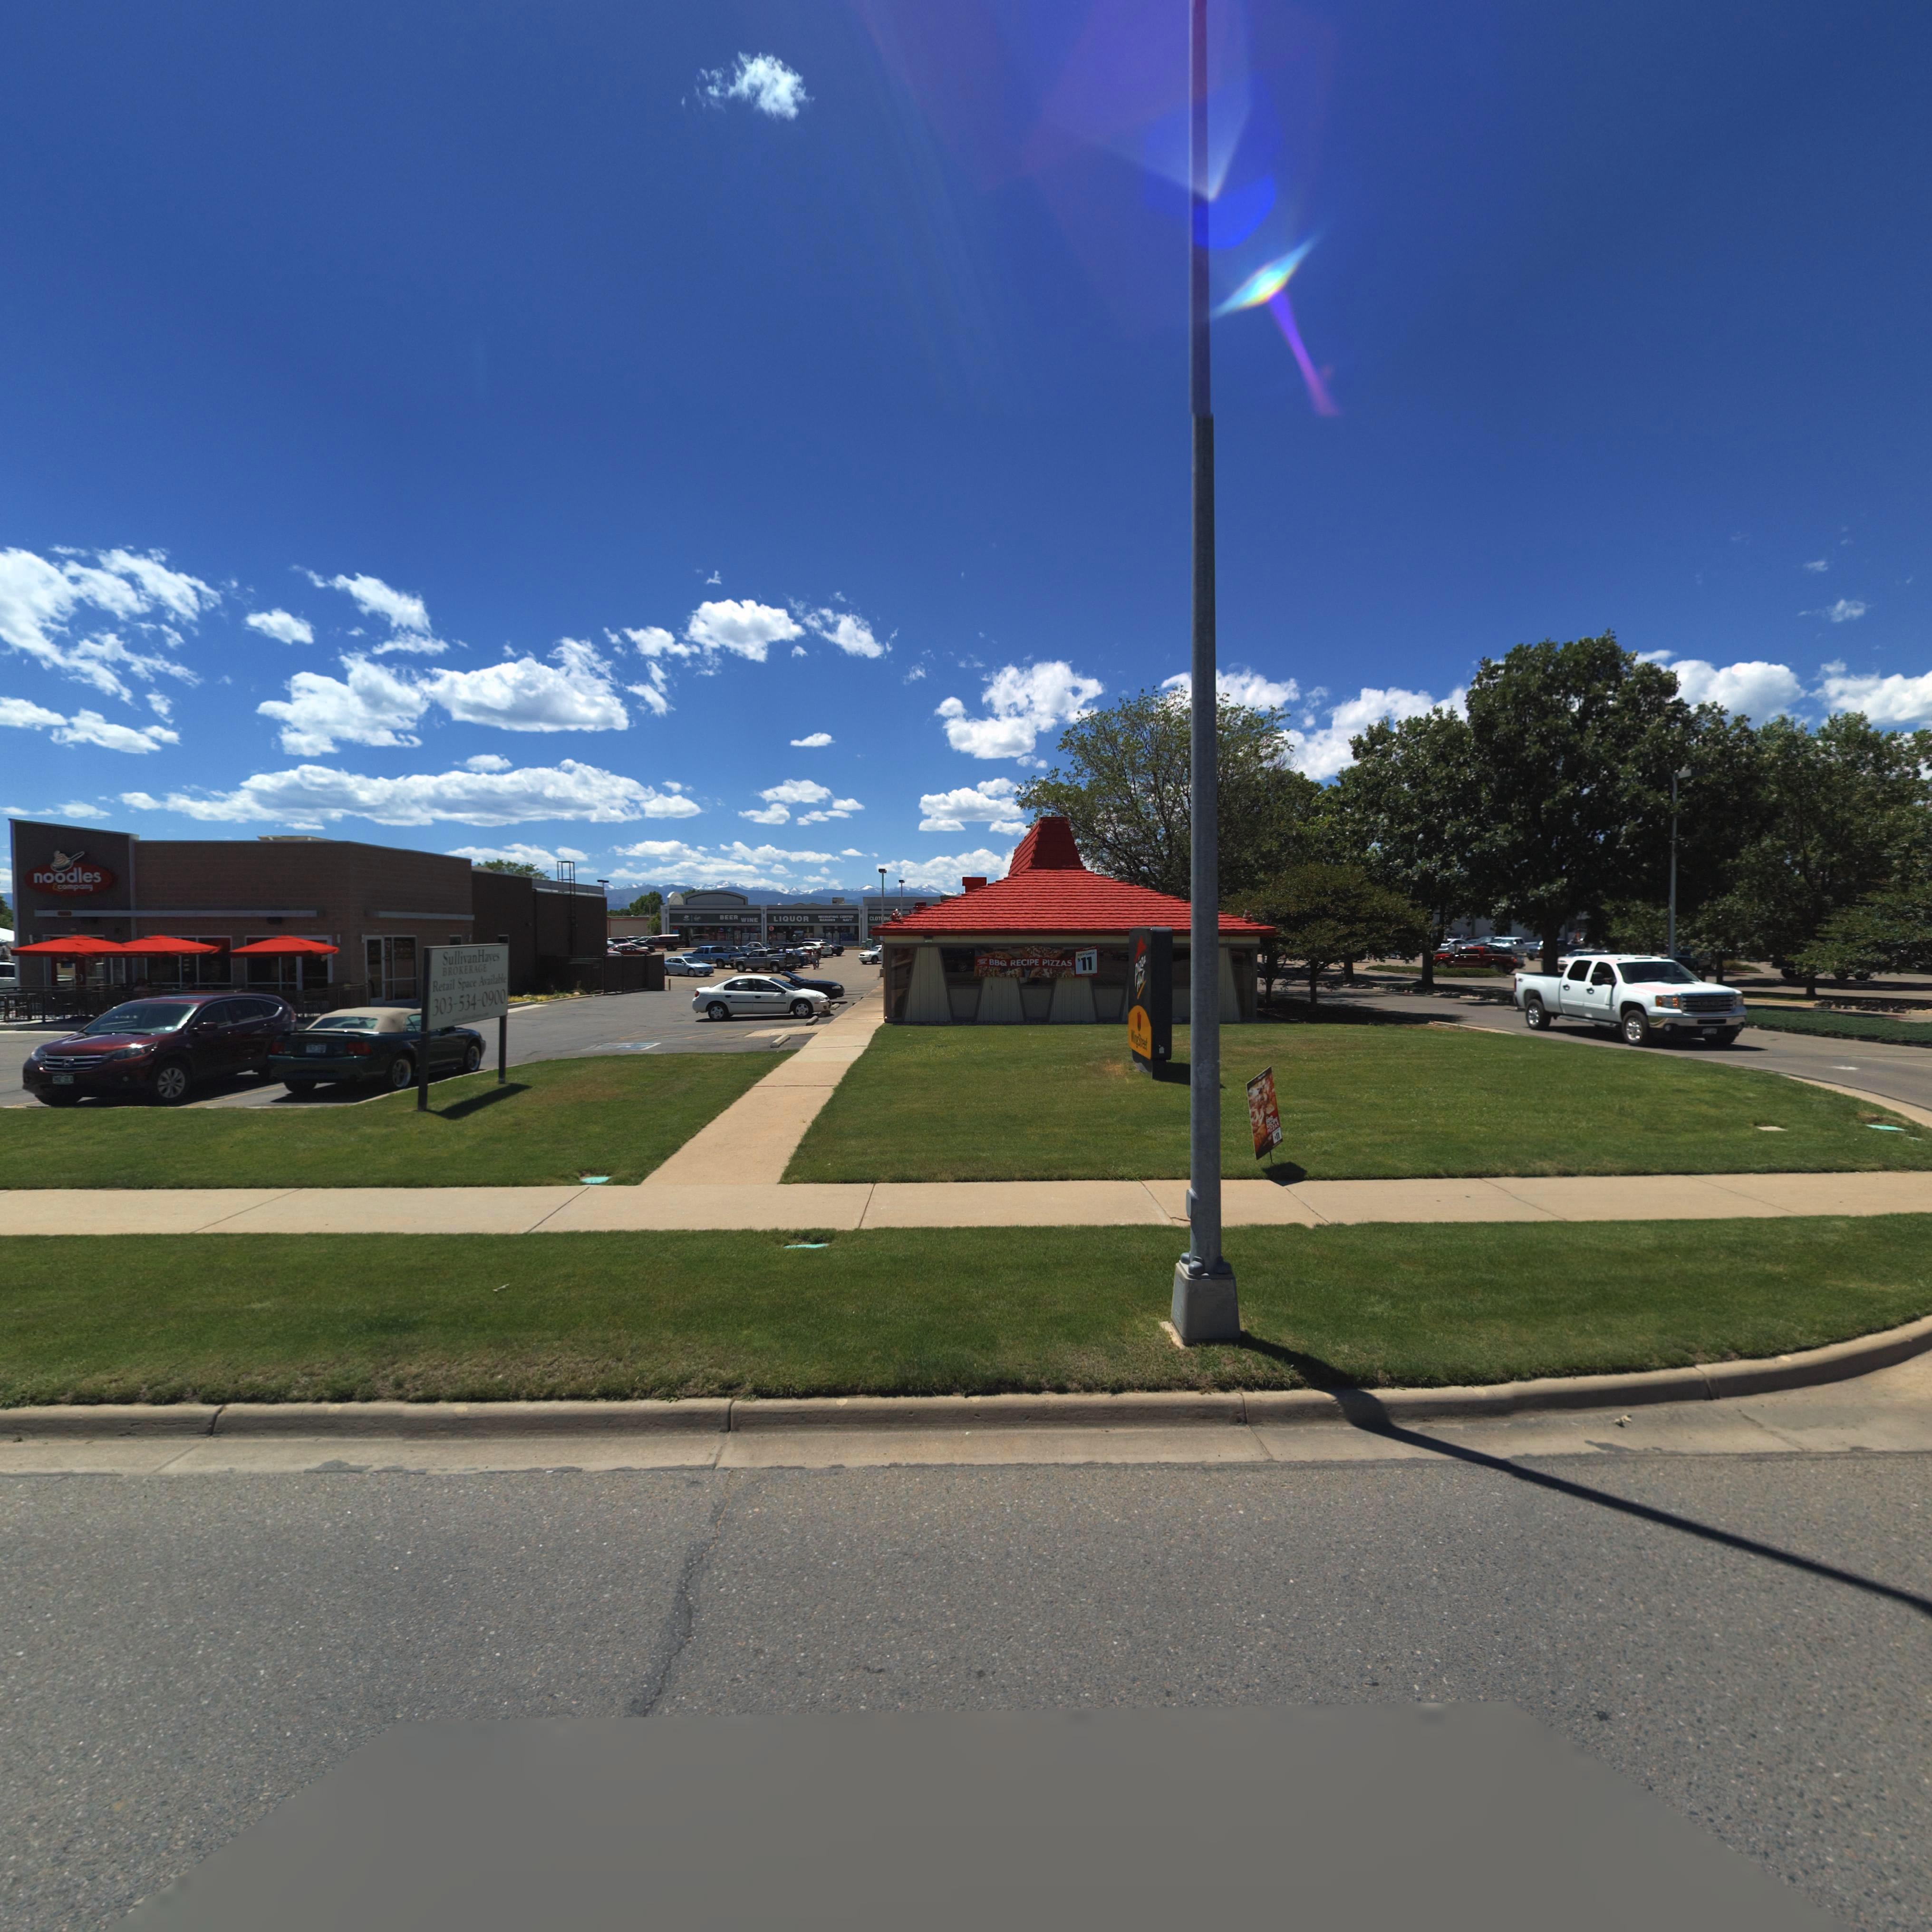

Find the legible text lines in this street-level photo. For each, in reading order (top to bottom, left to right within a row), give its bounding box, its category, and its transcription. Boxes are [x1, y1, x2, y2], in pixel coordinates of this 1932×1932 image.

[33, 867, 102, 883] BusinessName: noodles
[57, 884, 93, 891] BusinessName: co*p***
[1135, 954, 1146, 987] BusinessName: Pizz*
[1137, 969, 1144, 992] BusinessName: H*t
[1130, 1029, 1148, 1051] BusinessName: *i*gS**eet